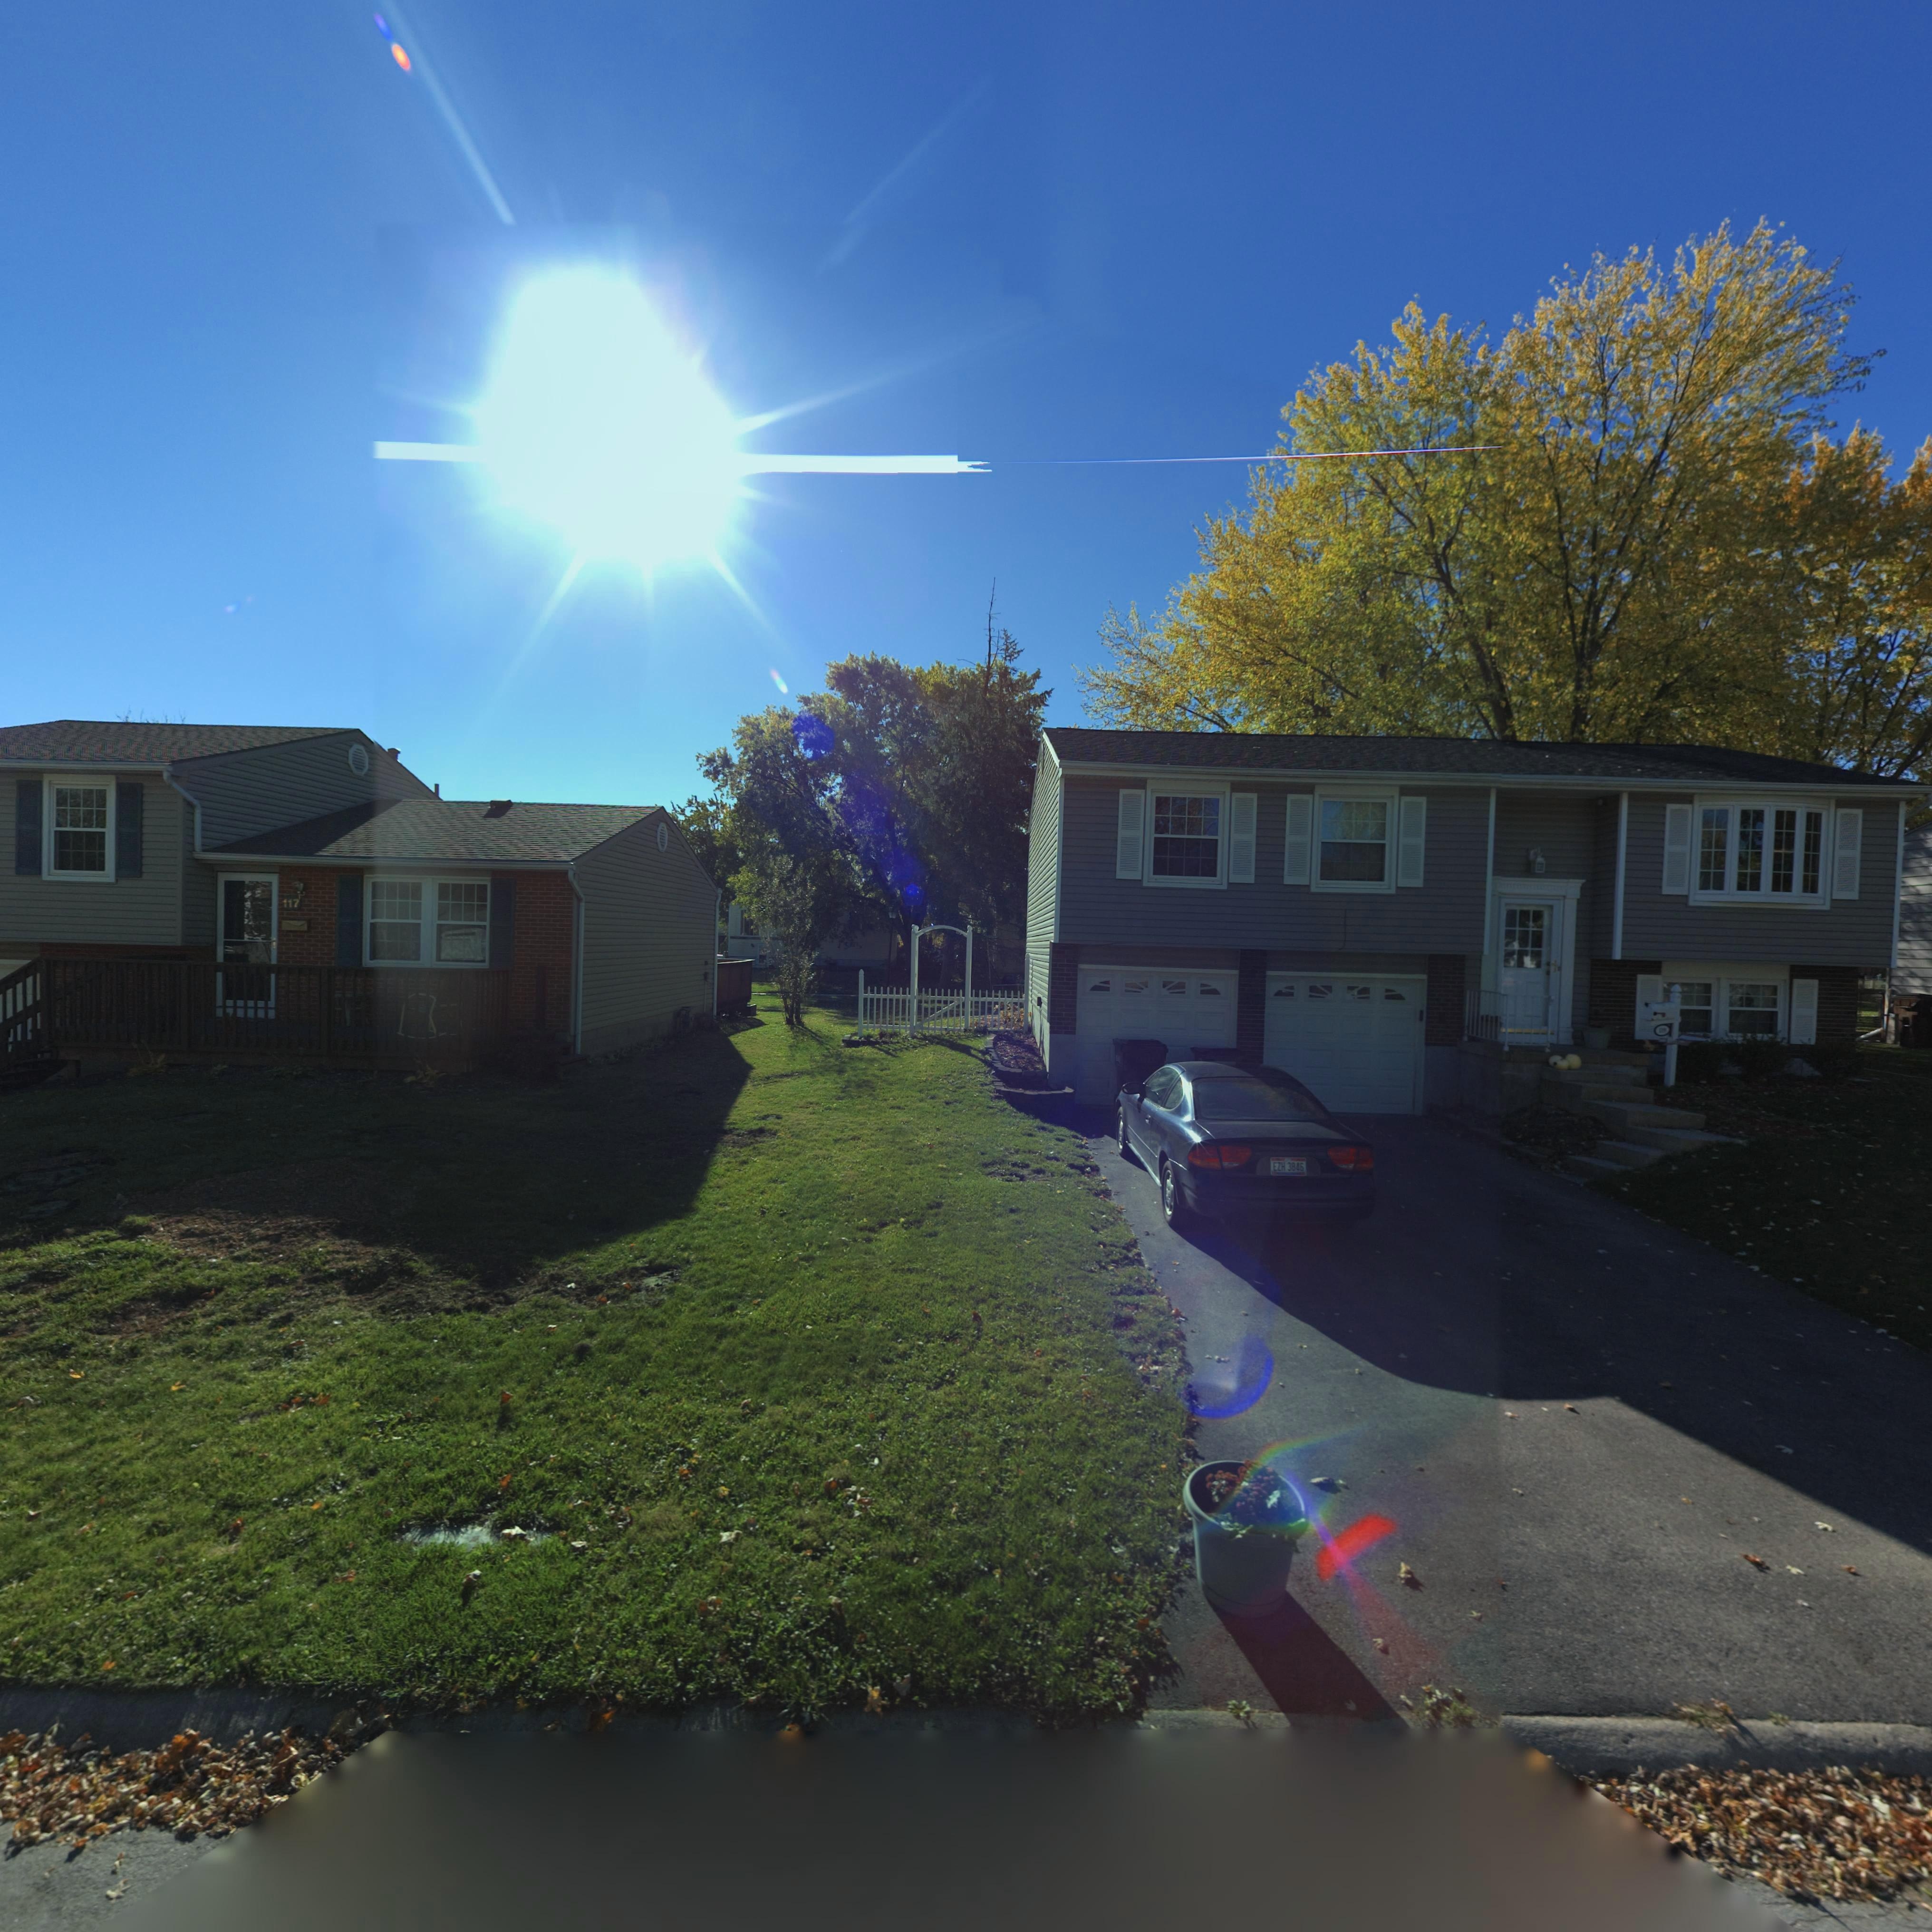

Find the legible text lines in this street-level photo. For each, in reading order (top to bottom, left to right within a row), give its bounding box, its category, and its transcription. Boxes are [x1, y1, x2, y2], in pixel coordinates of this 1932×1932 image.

[281, 898, 300, 908] StreetNumber: 117